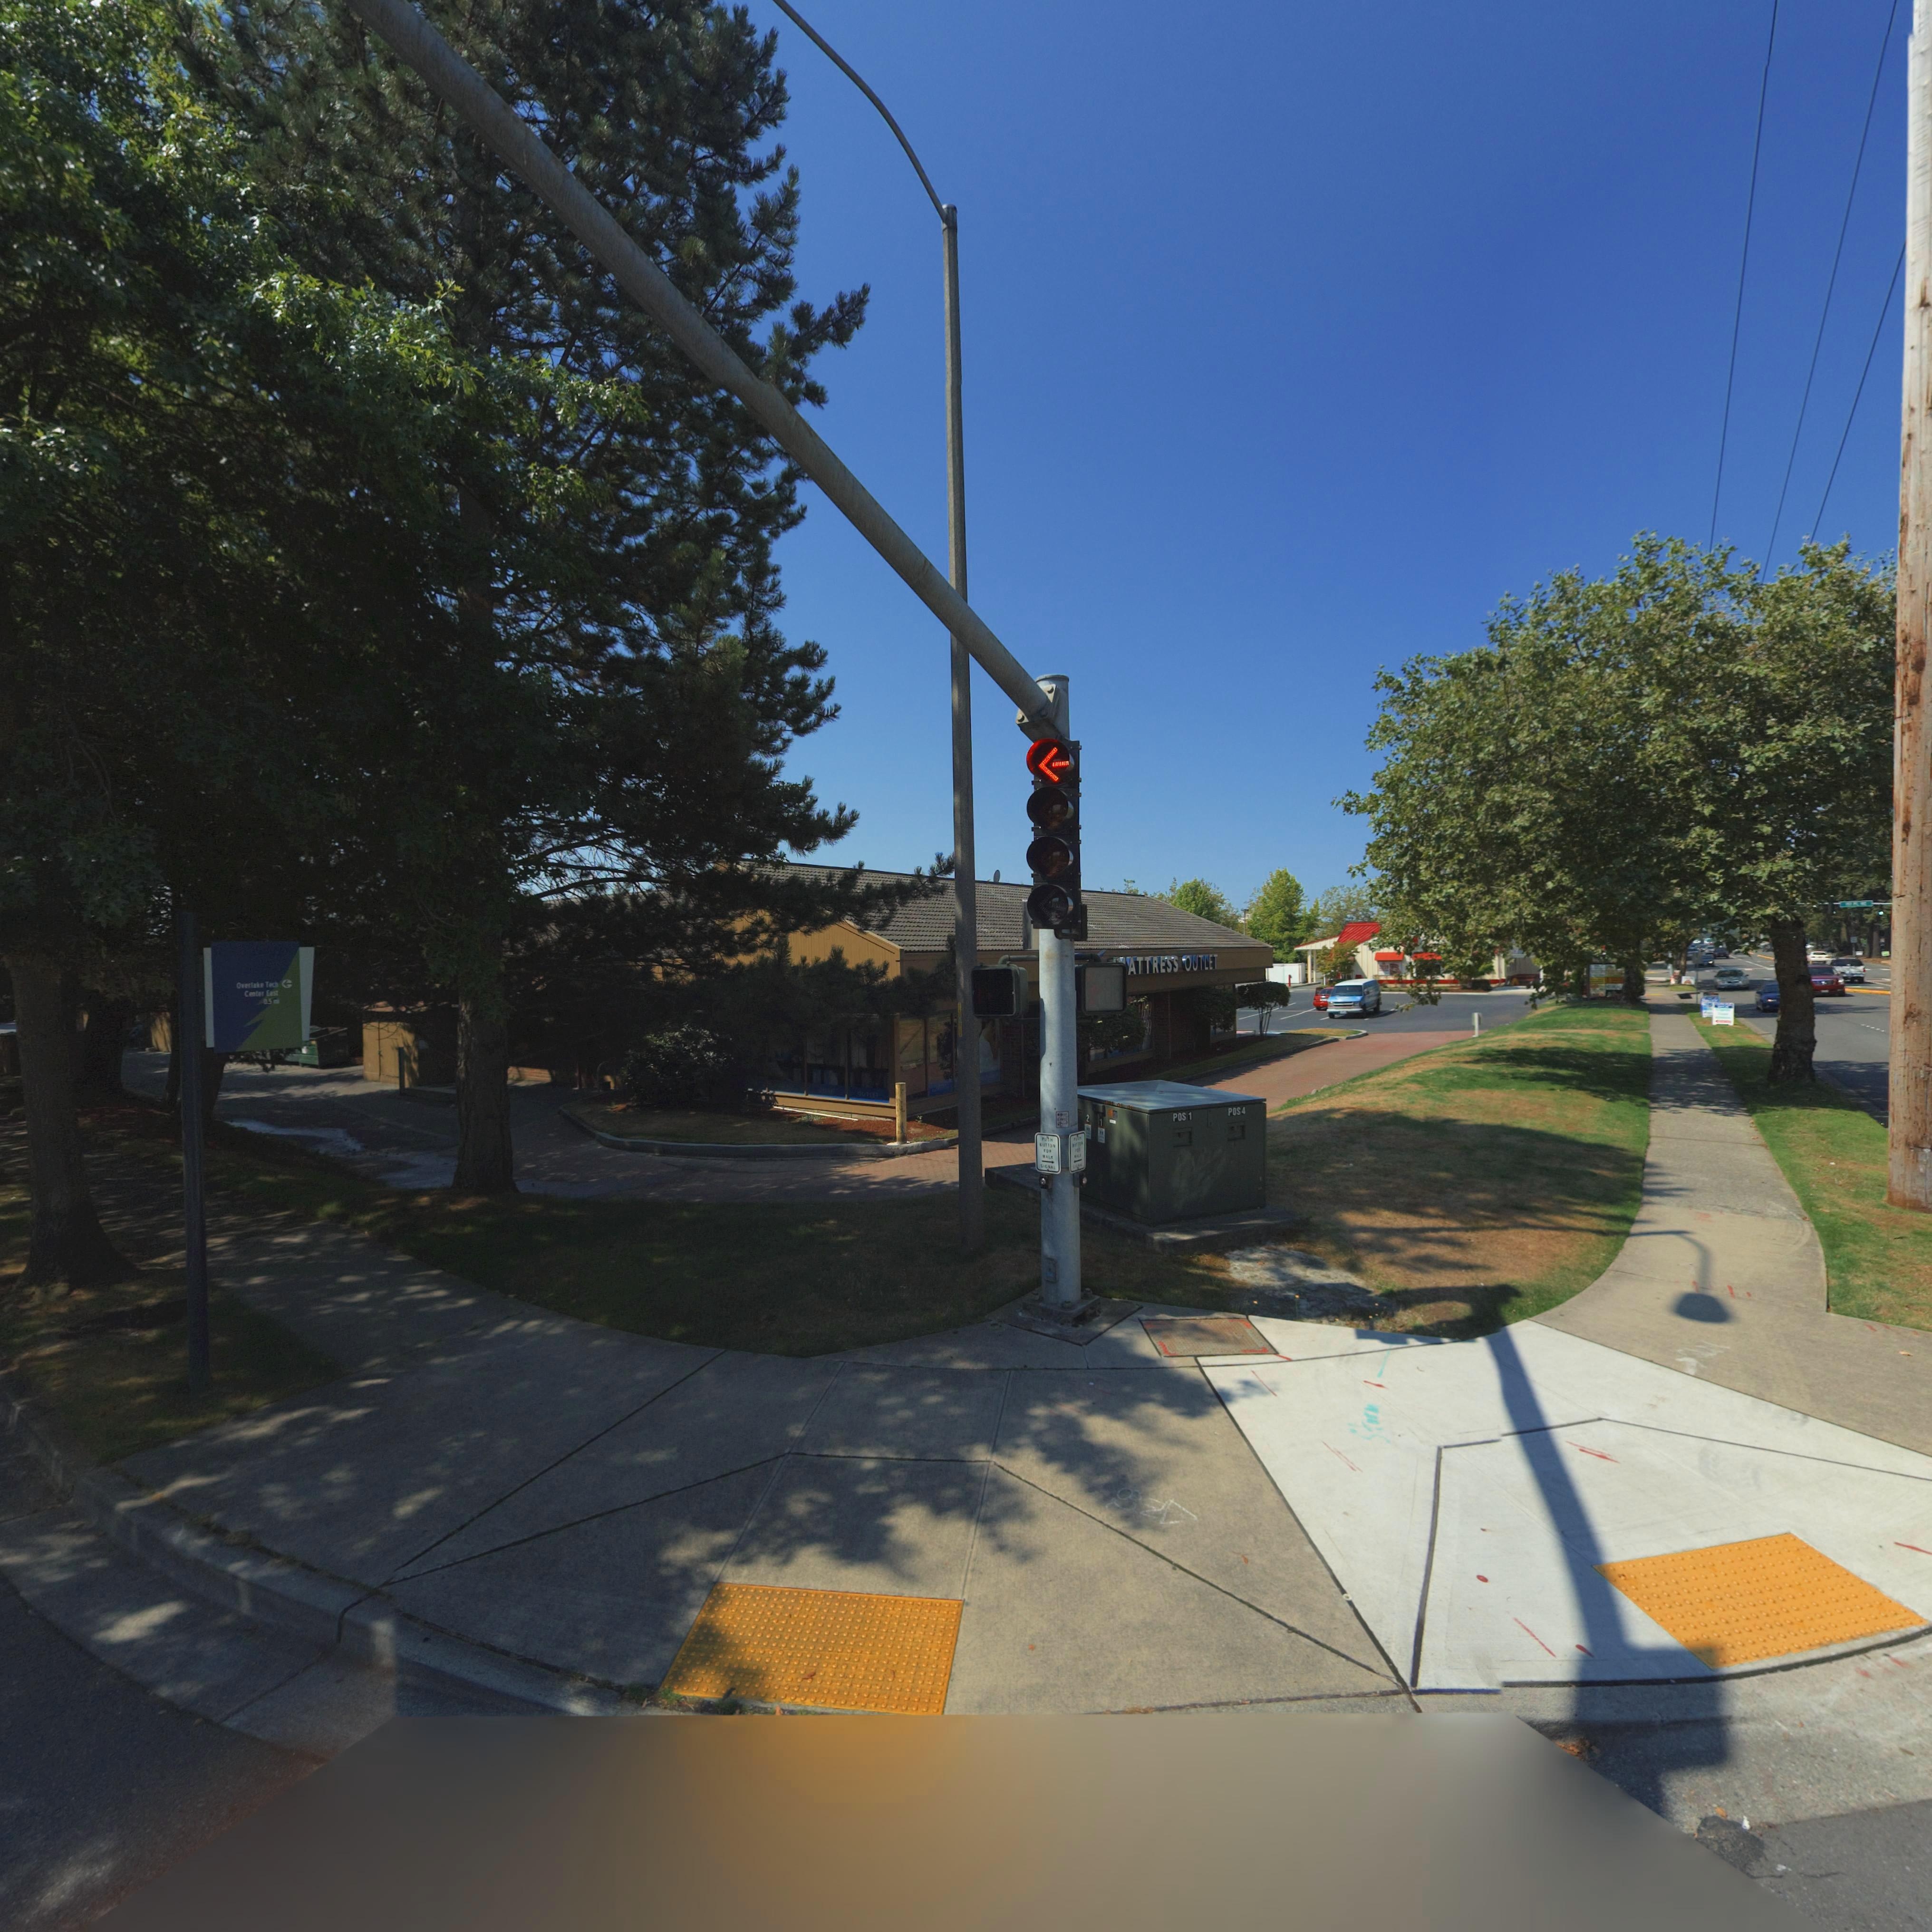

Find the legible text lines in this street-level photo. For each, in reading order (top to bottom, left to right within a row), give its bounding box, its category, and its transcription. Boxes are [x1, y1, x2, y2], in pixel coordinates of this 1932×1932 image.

[1172, 1111, 1193, 1123] StreetNumber: 2051